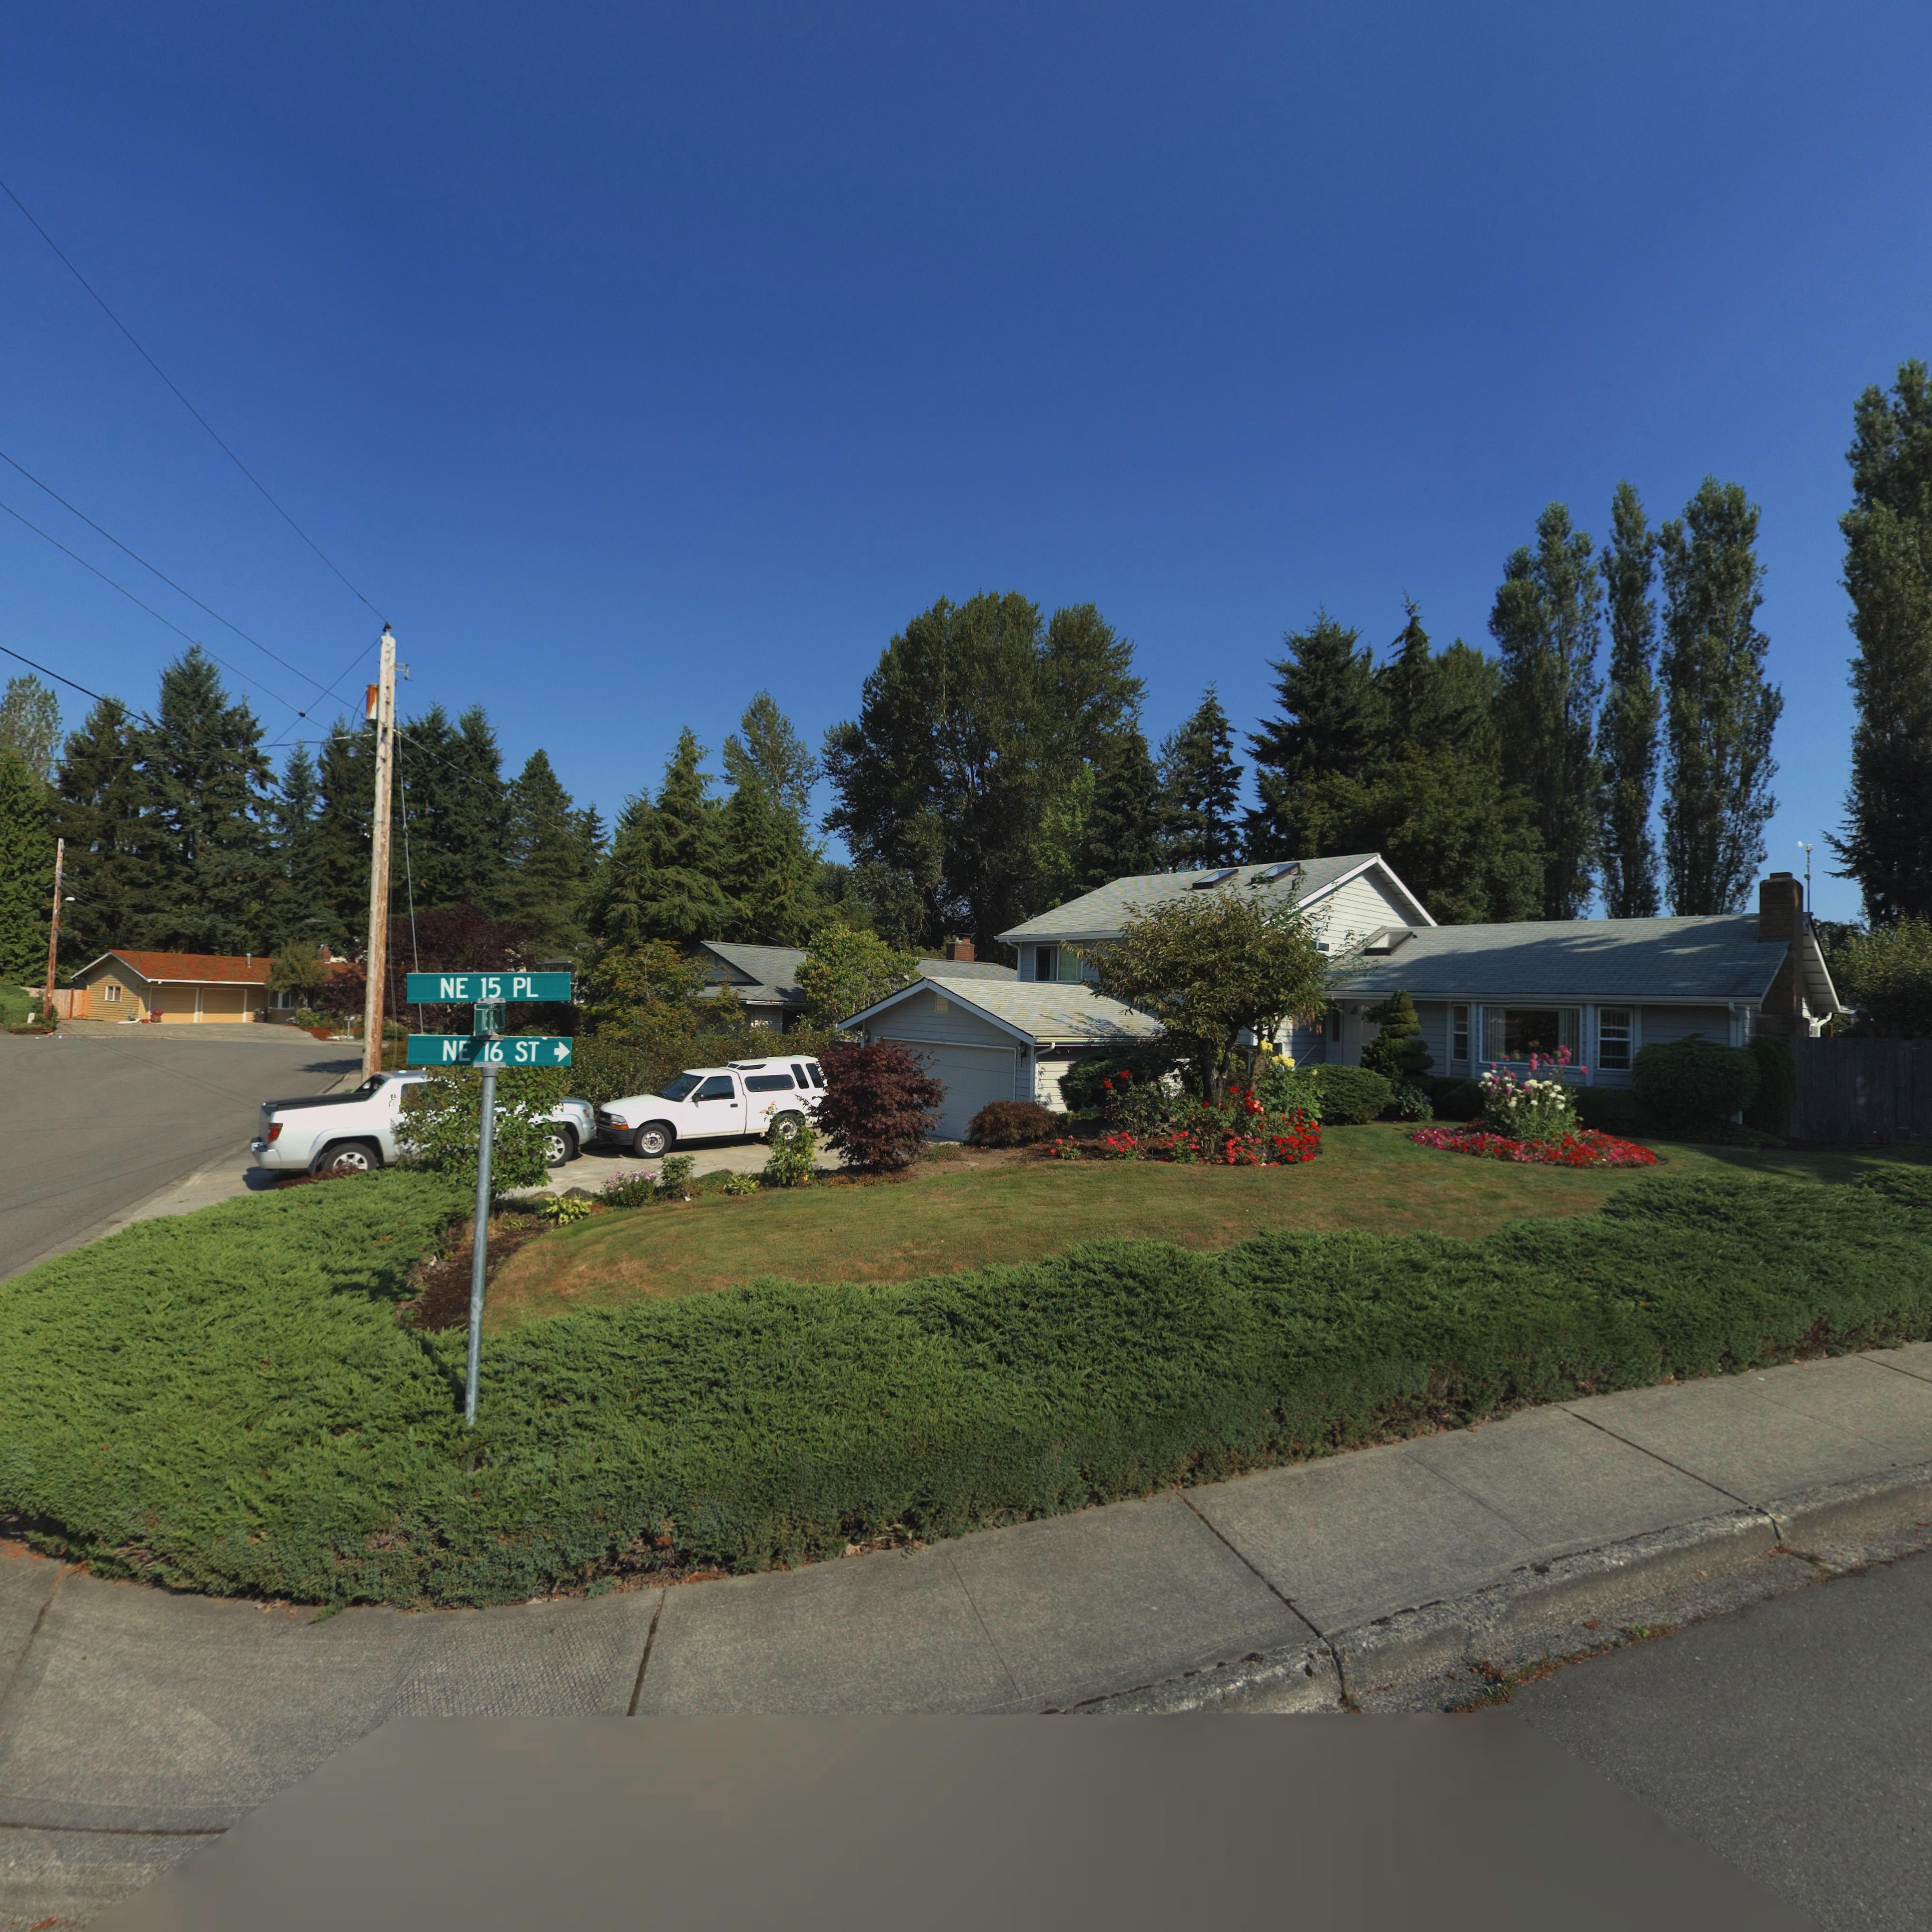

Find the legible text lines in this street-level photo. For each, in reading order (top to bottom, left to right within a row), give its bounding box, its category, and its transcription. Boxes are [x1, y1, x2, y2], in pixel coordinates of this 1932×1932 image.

[439, 975, 539, 999] StreetName: NE 15 PL